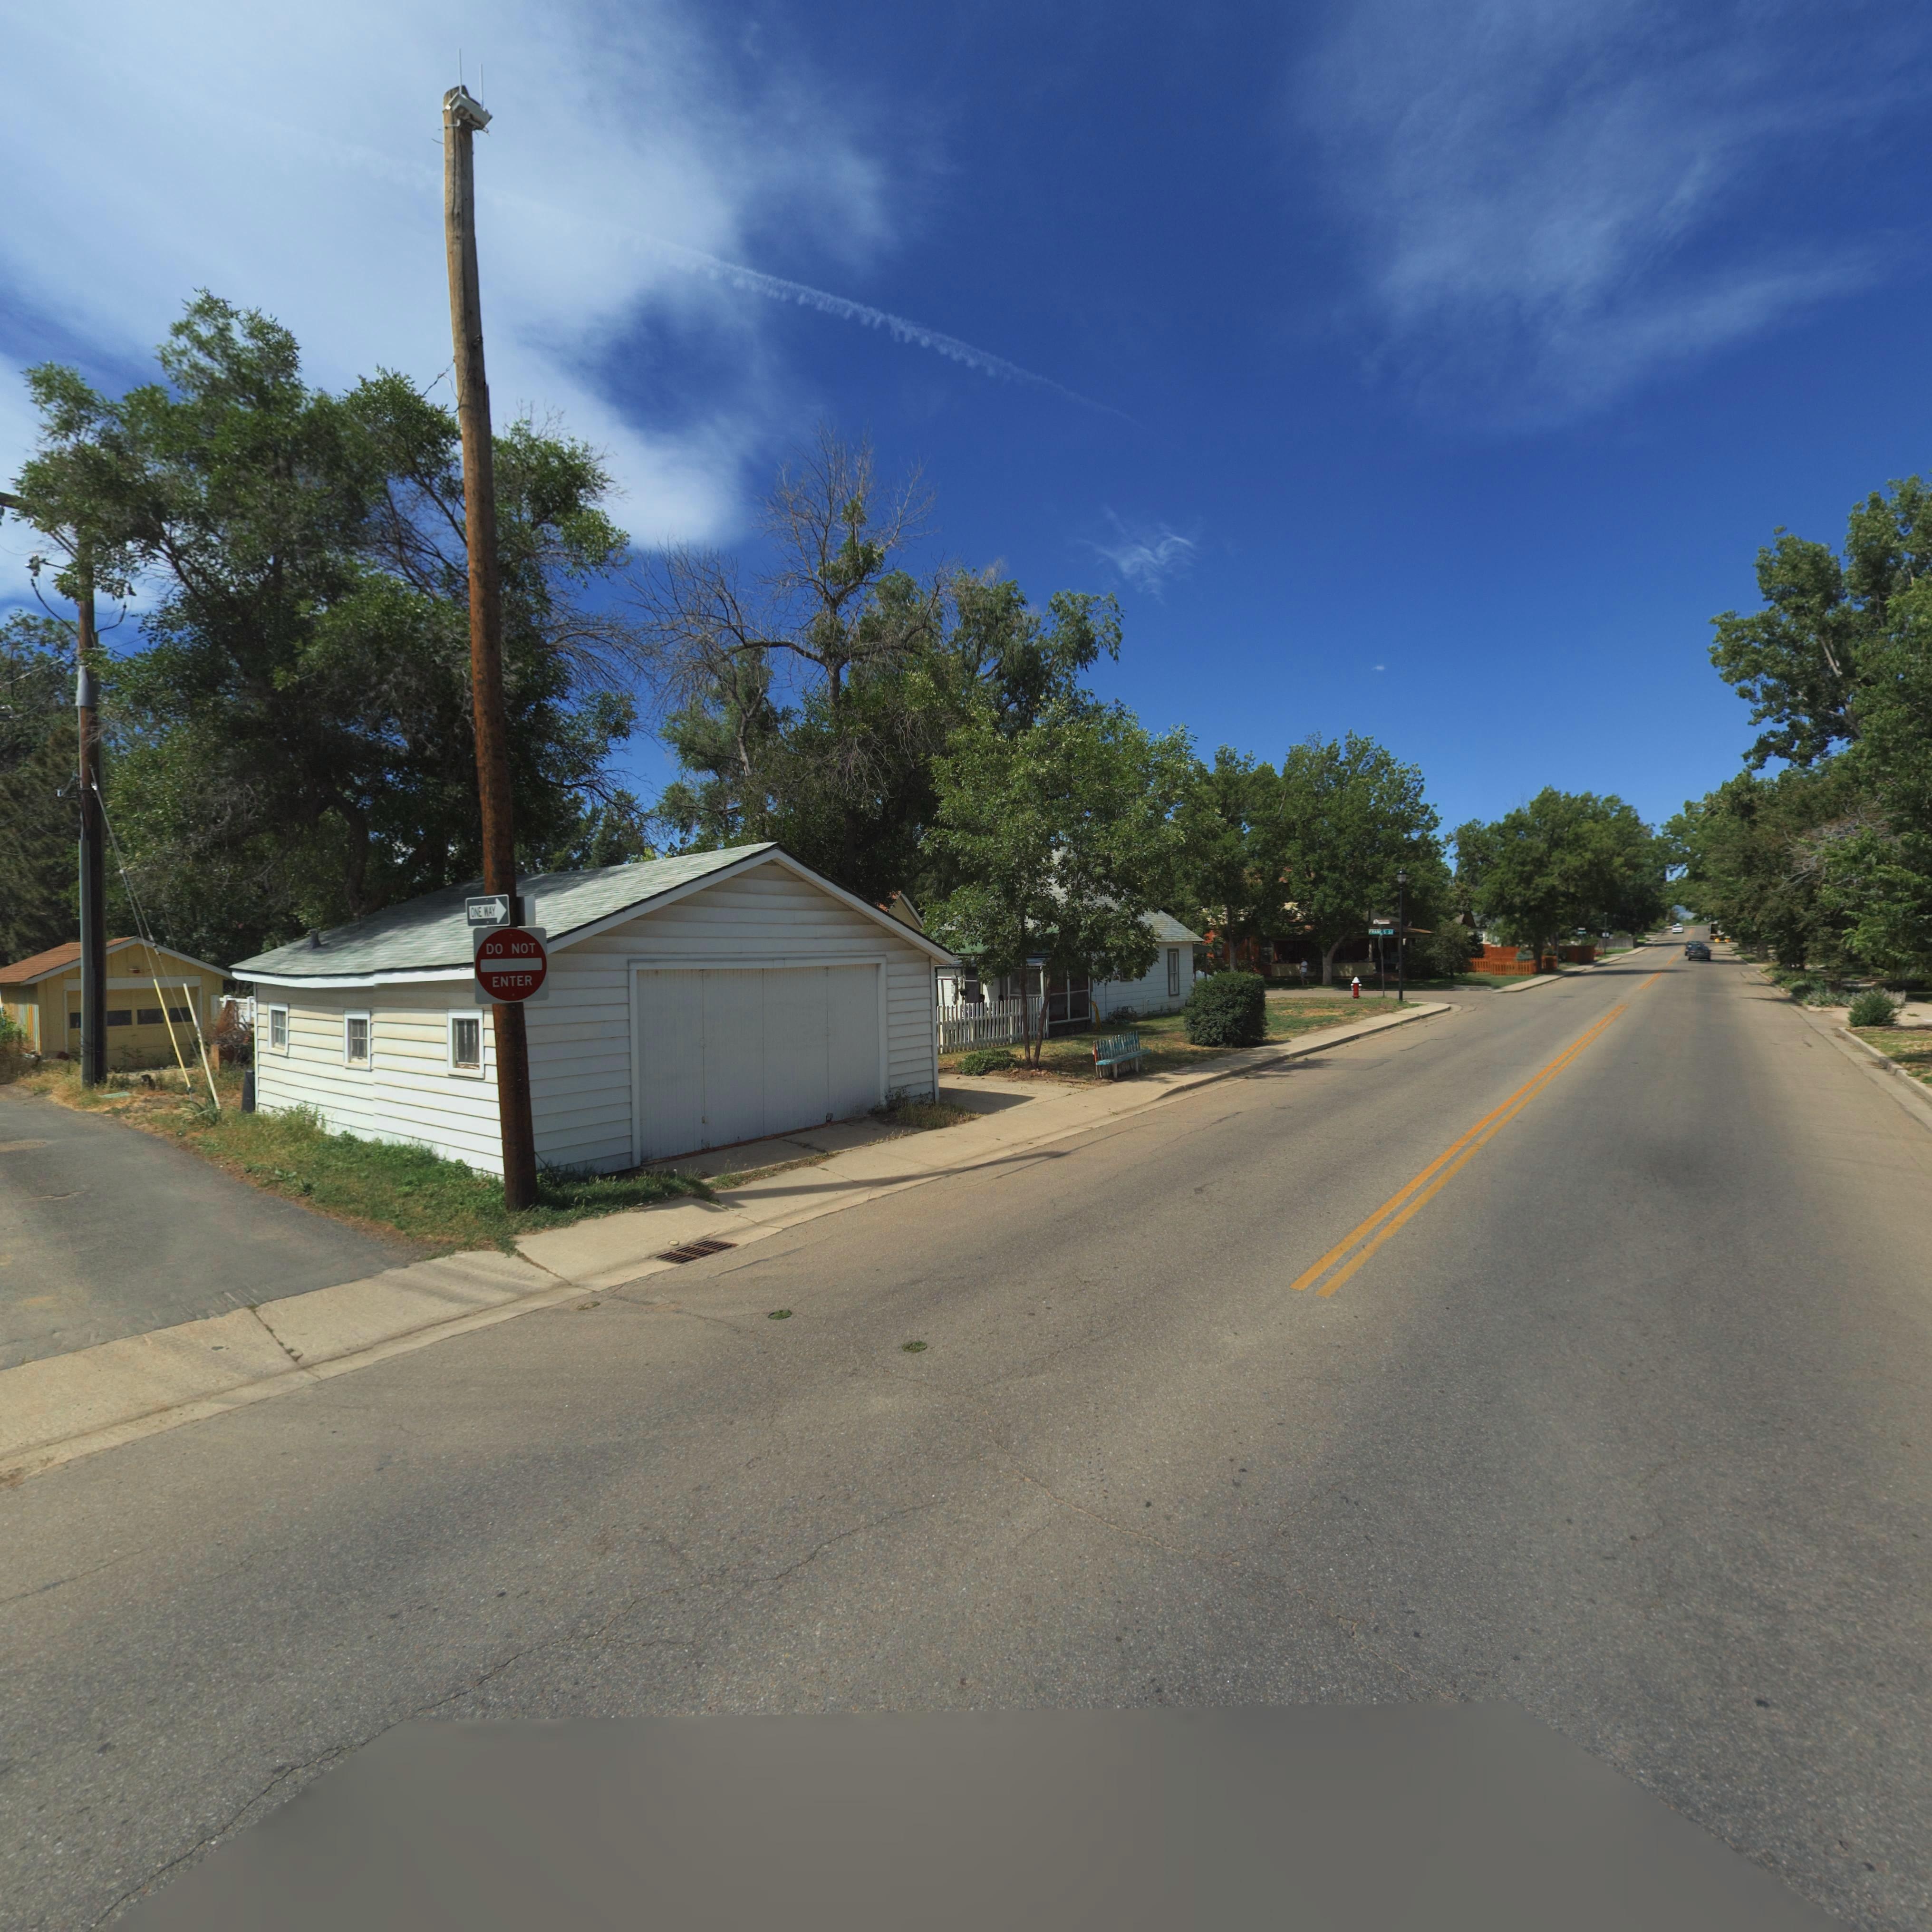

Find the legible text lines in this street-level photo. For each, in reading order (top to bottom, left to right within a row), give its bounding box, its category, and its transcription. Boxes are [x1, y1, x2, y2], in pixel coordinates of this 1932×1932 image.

[1369, 929, 1393, 934] StreetName: FRA*C*S ST